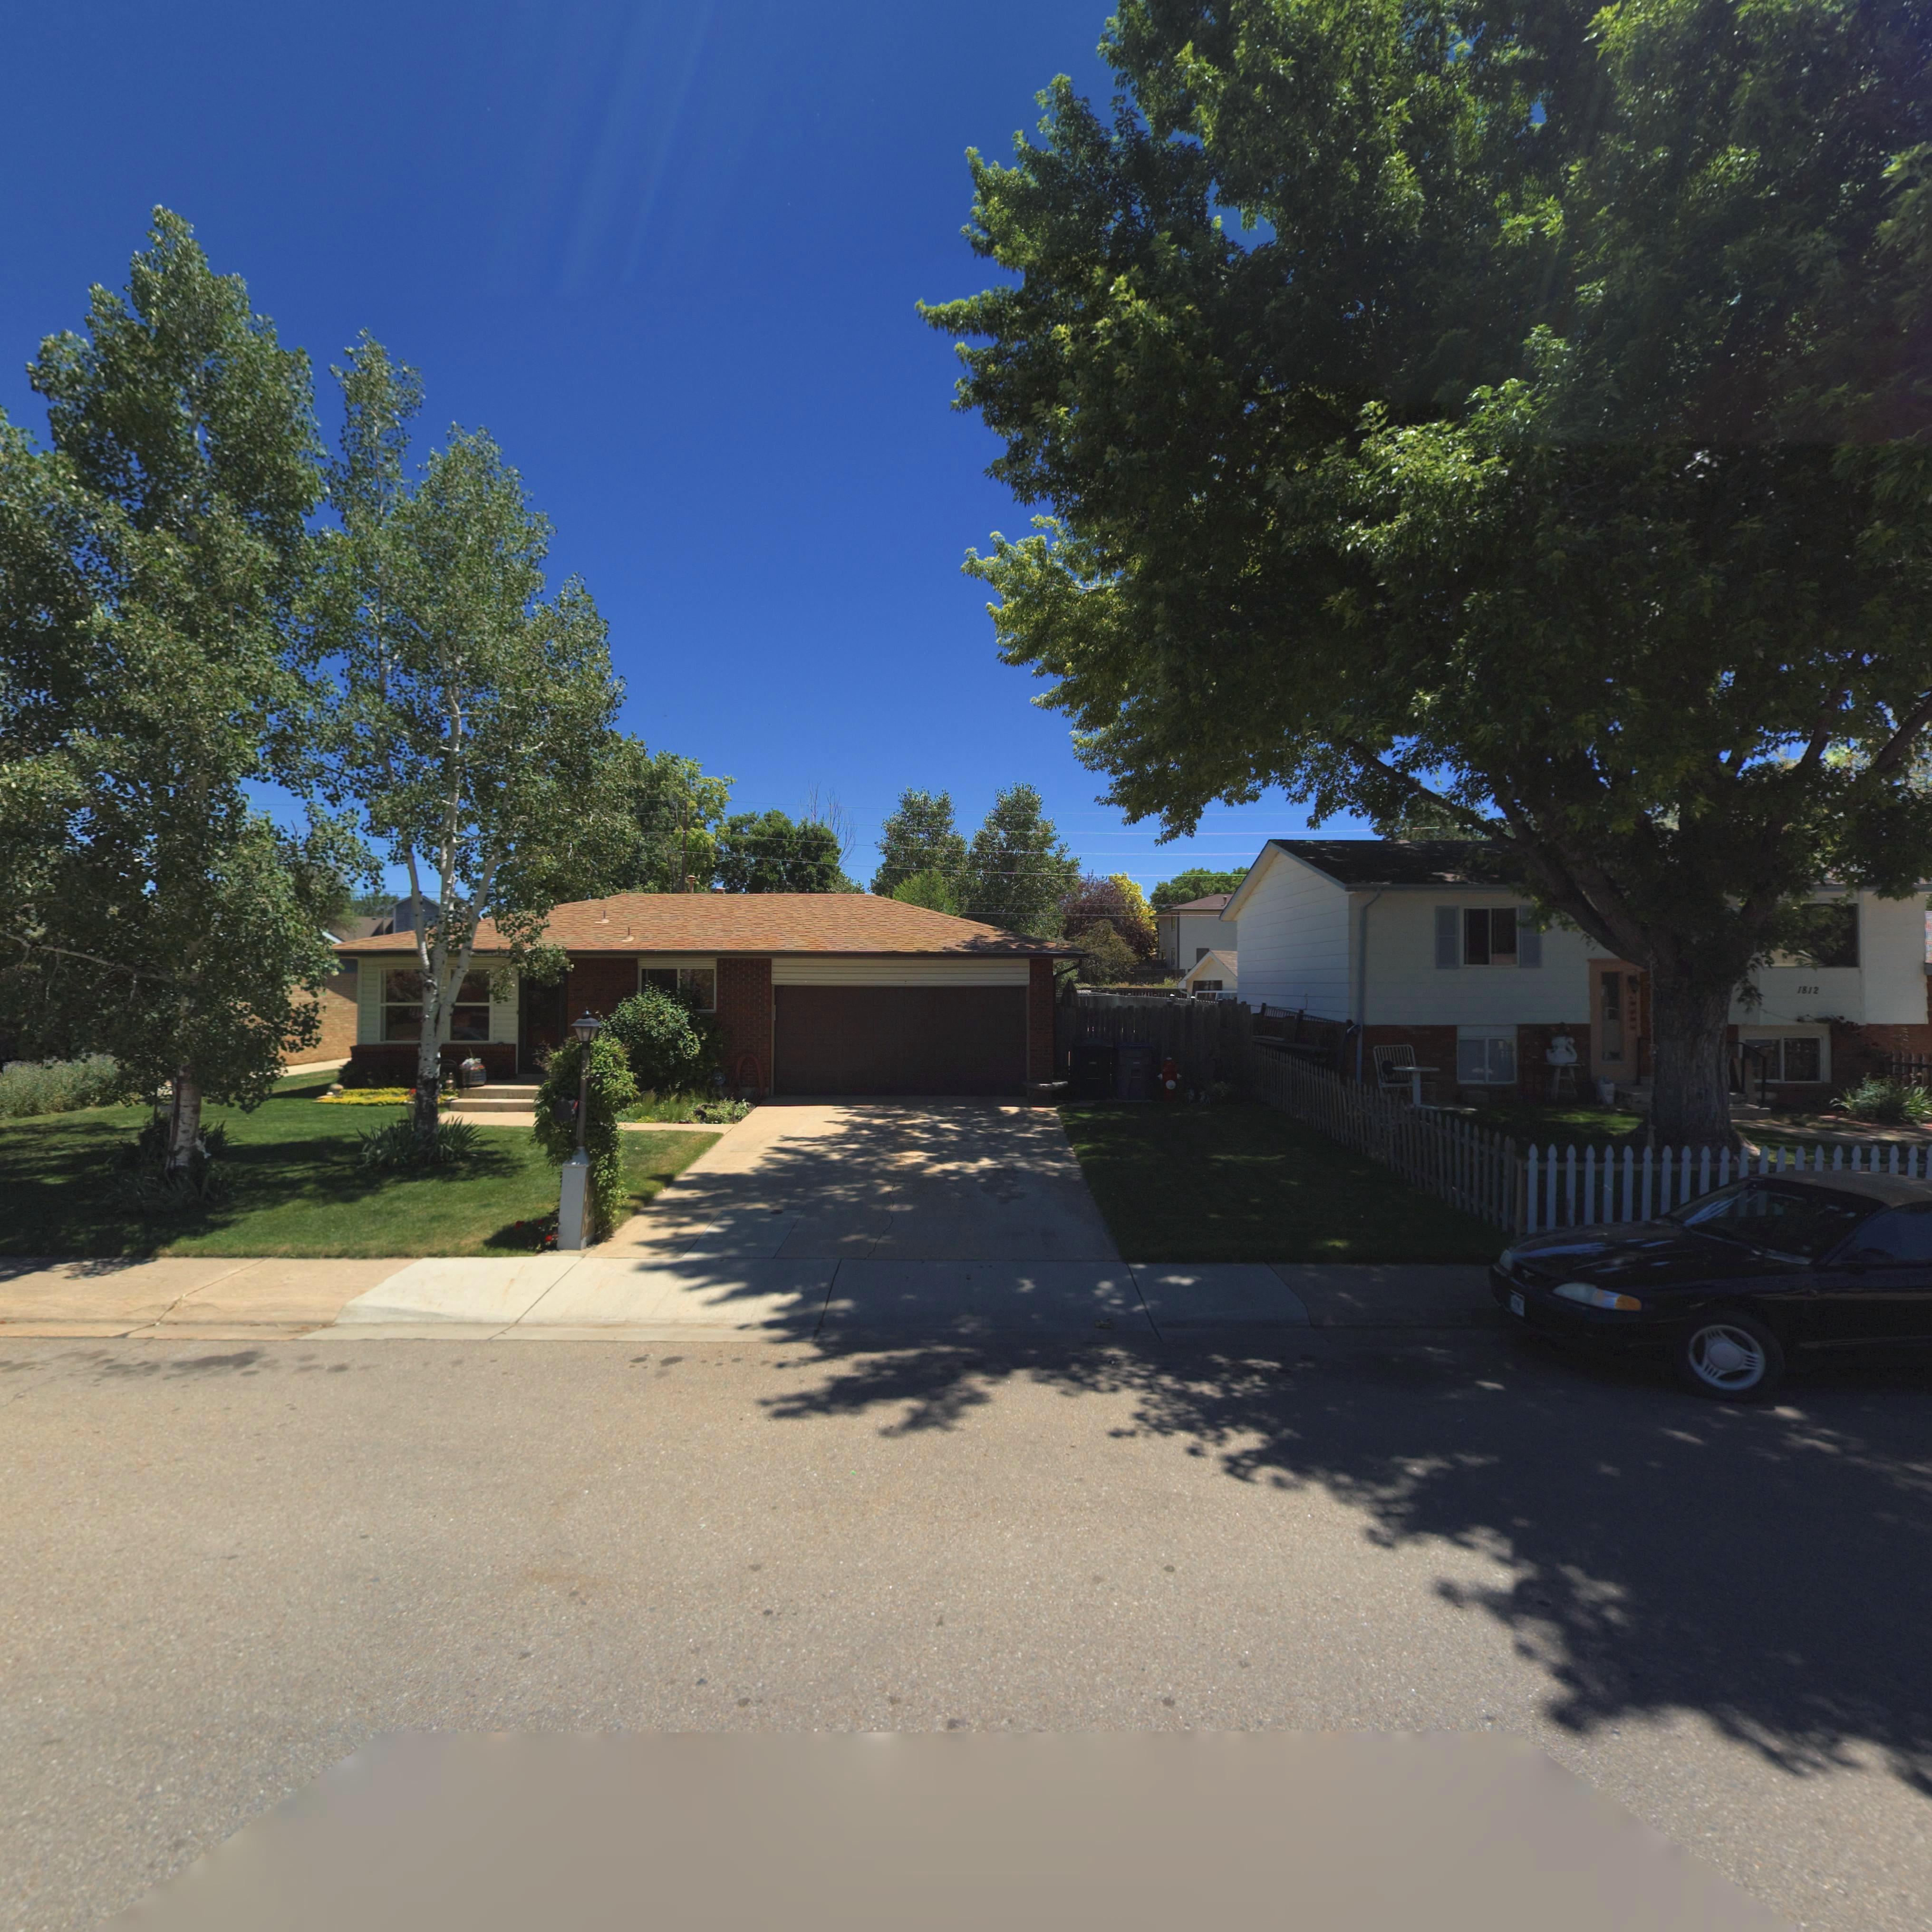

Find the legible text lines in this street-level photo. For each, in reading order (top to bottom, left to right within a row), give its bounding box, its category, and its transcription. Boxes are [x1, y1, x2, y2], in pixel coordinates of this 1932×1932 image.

[1797, 986, 1819, 994] StreetNumber: 1812